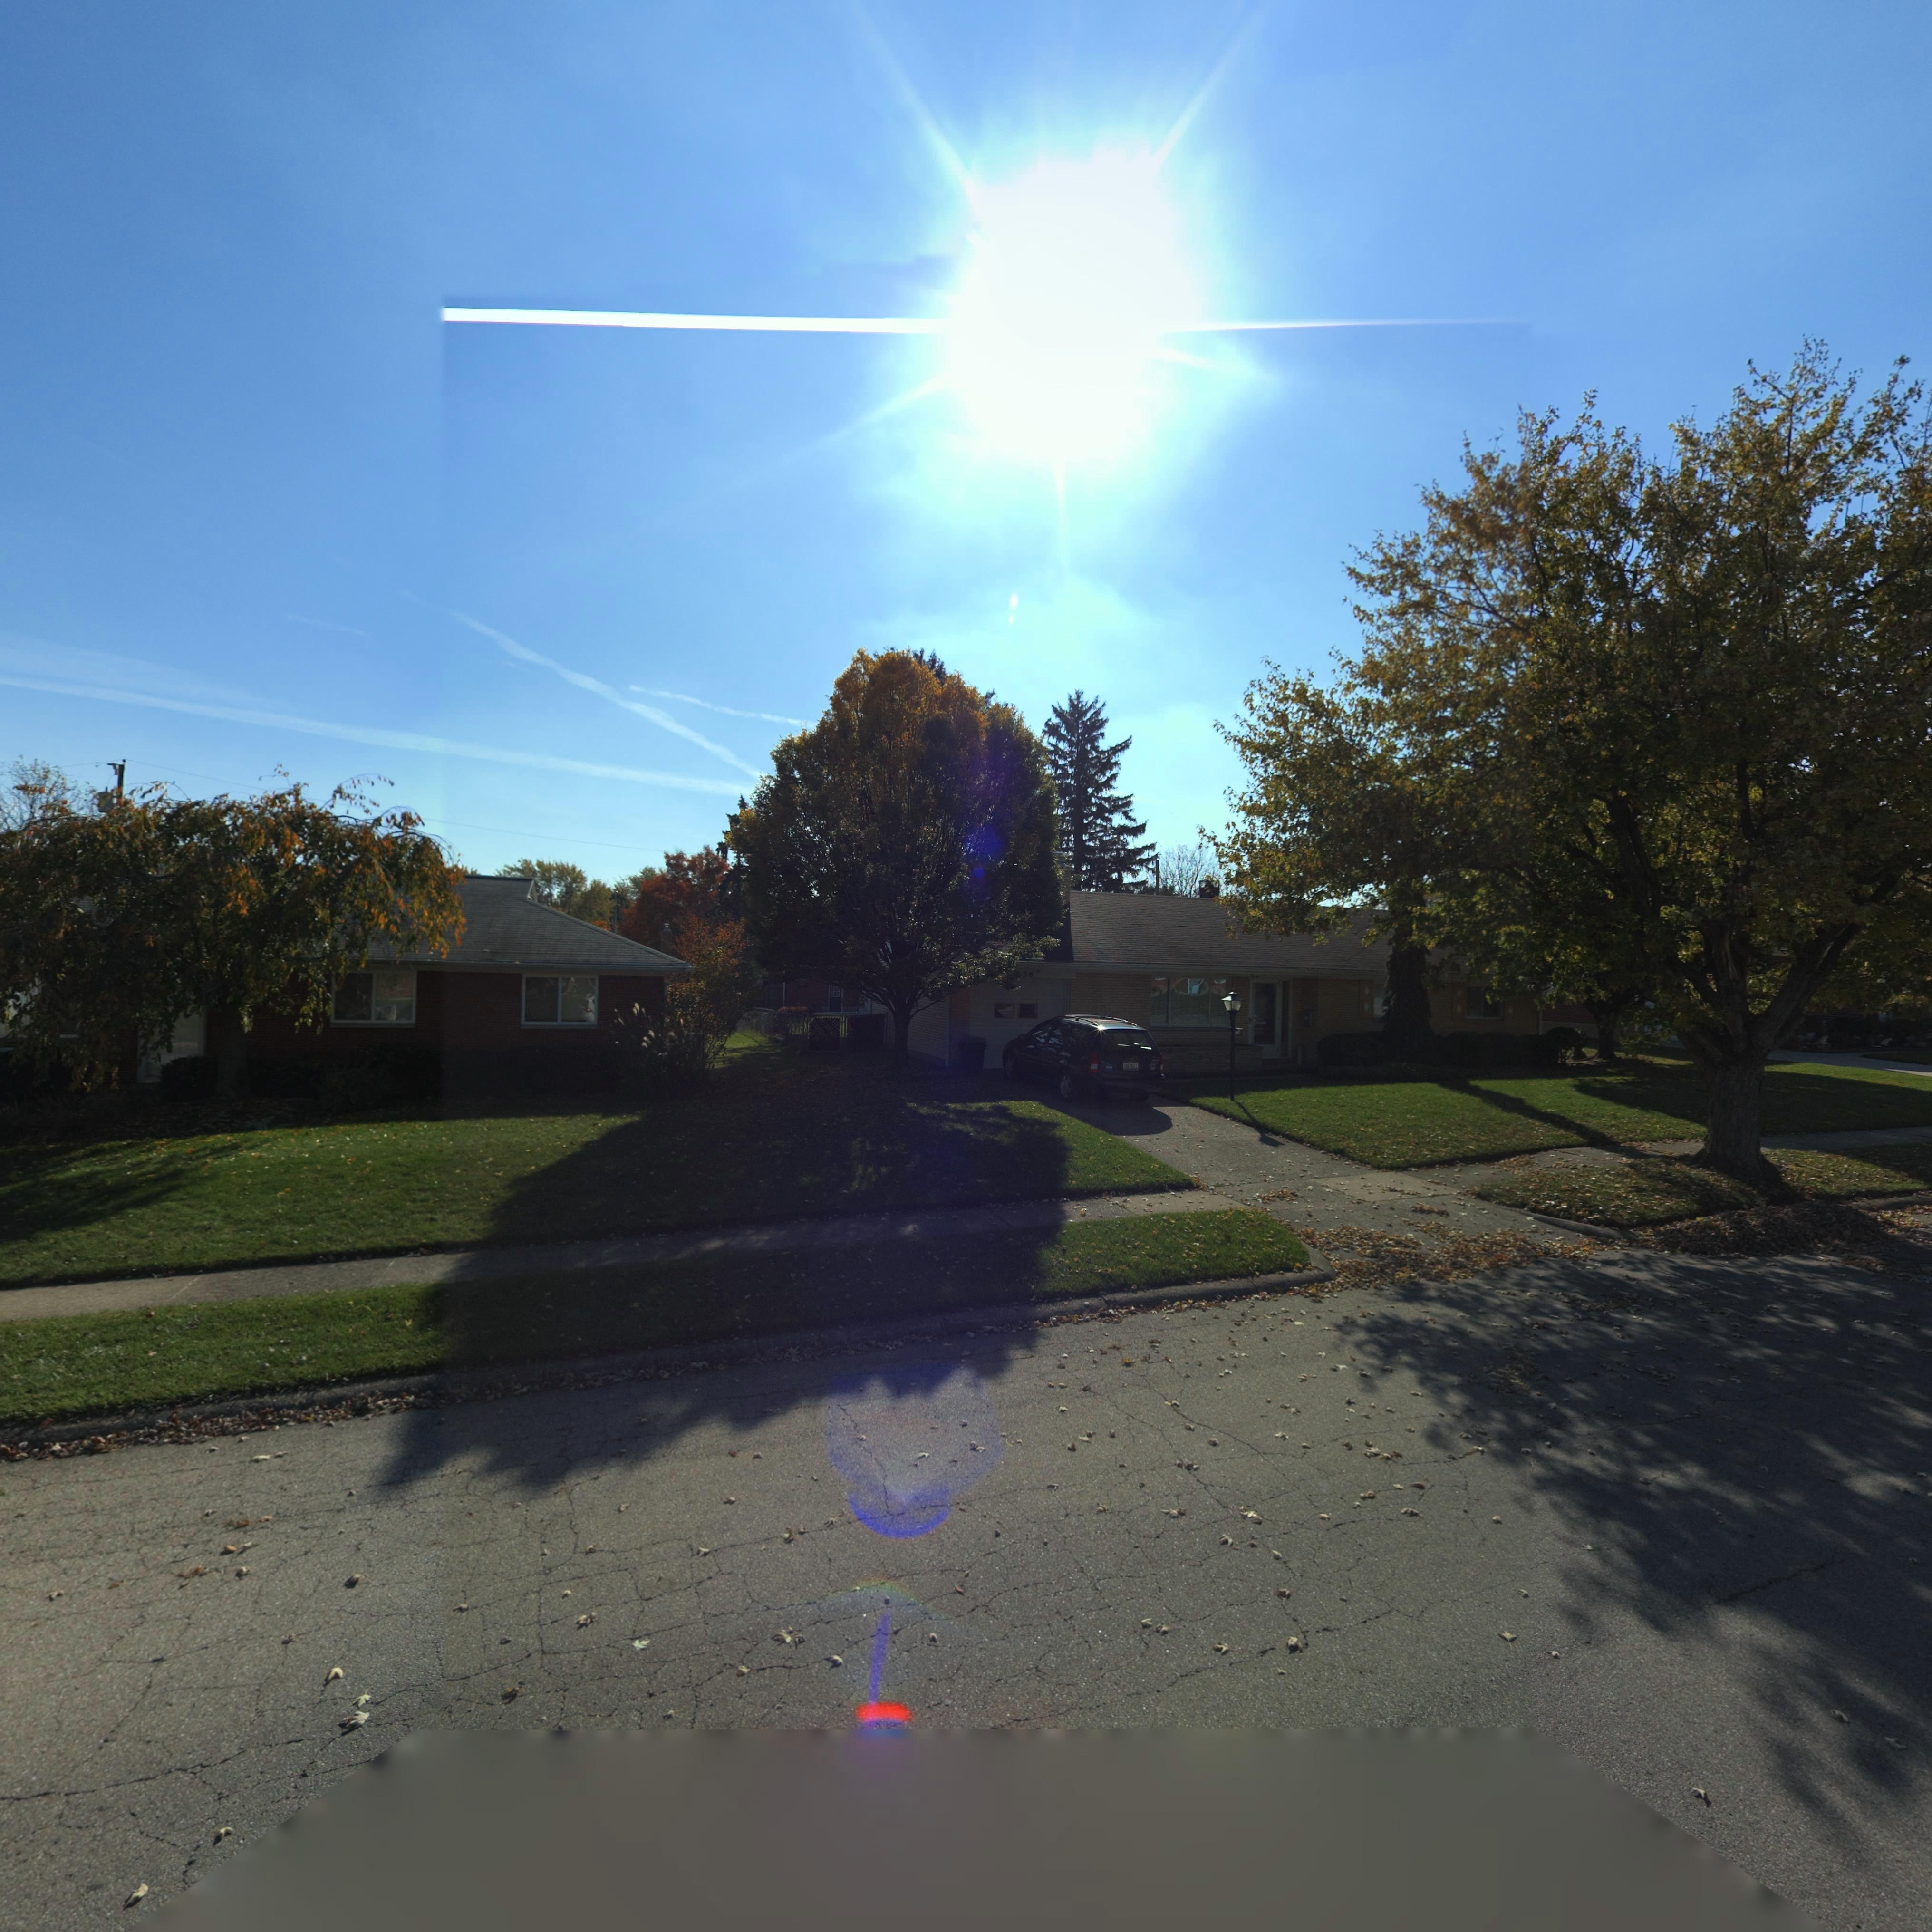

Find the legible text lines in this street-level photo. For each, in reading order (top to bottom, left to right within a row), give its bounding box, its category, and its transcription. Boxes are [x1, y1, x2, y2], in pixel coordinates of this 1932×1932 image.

[1023, 971, 1034, 978] StreetNumber: 50